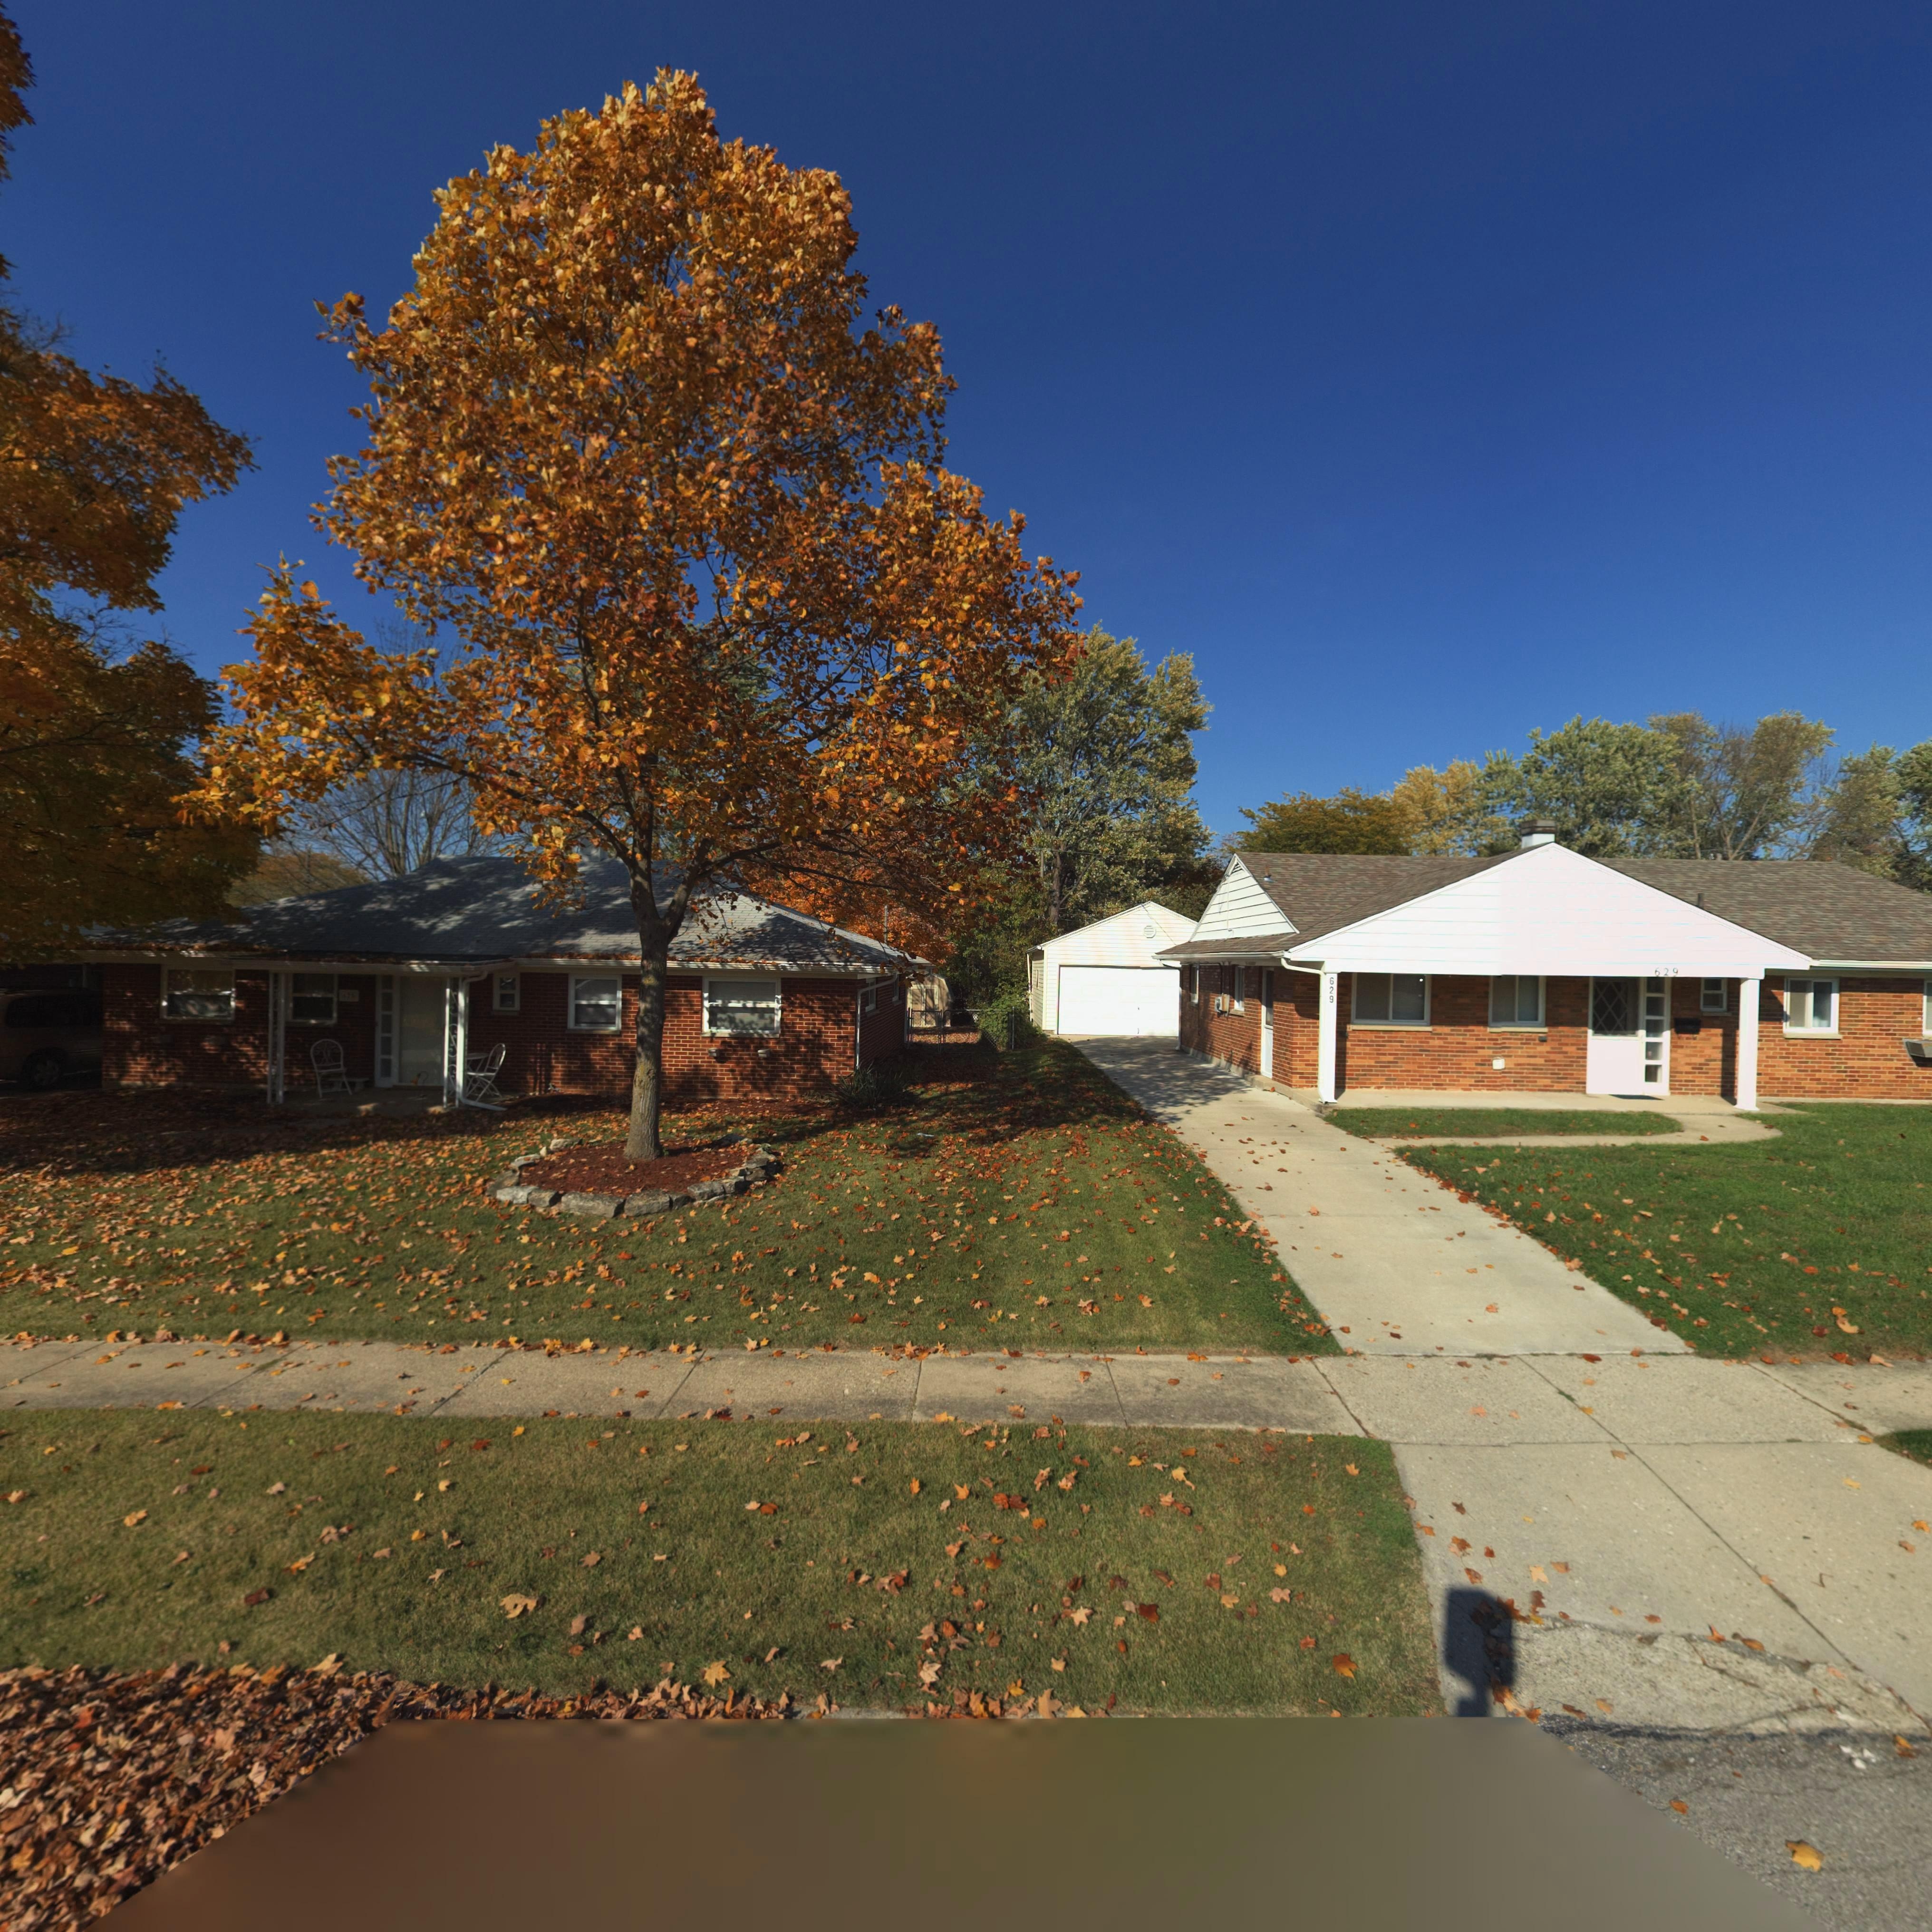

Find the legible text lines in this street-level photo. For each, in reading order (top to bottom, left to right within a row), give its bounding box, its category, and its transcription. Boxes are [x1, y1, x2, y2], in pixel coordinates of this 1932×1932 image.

[1654, 966, 1679, 976] StreetNumber: 629
[1329, 976, 1335, 1004] StreetNumber: 629
[341, 993, 355, 999] StreetNumber: 6**